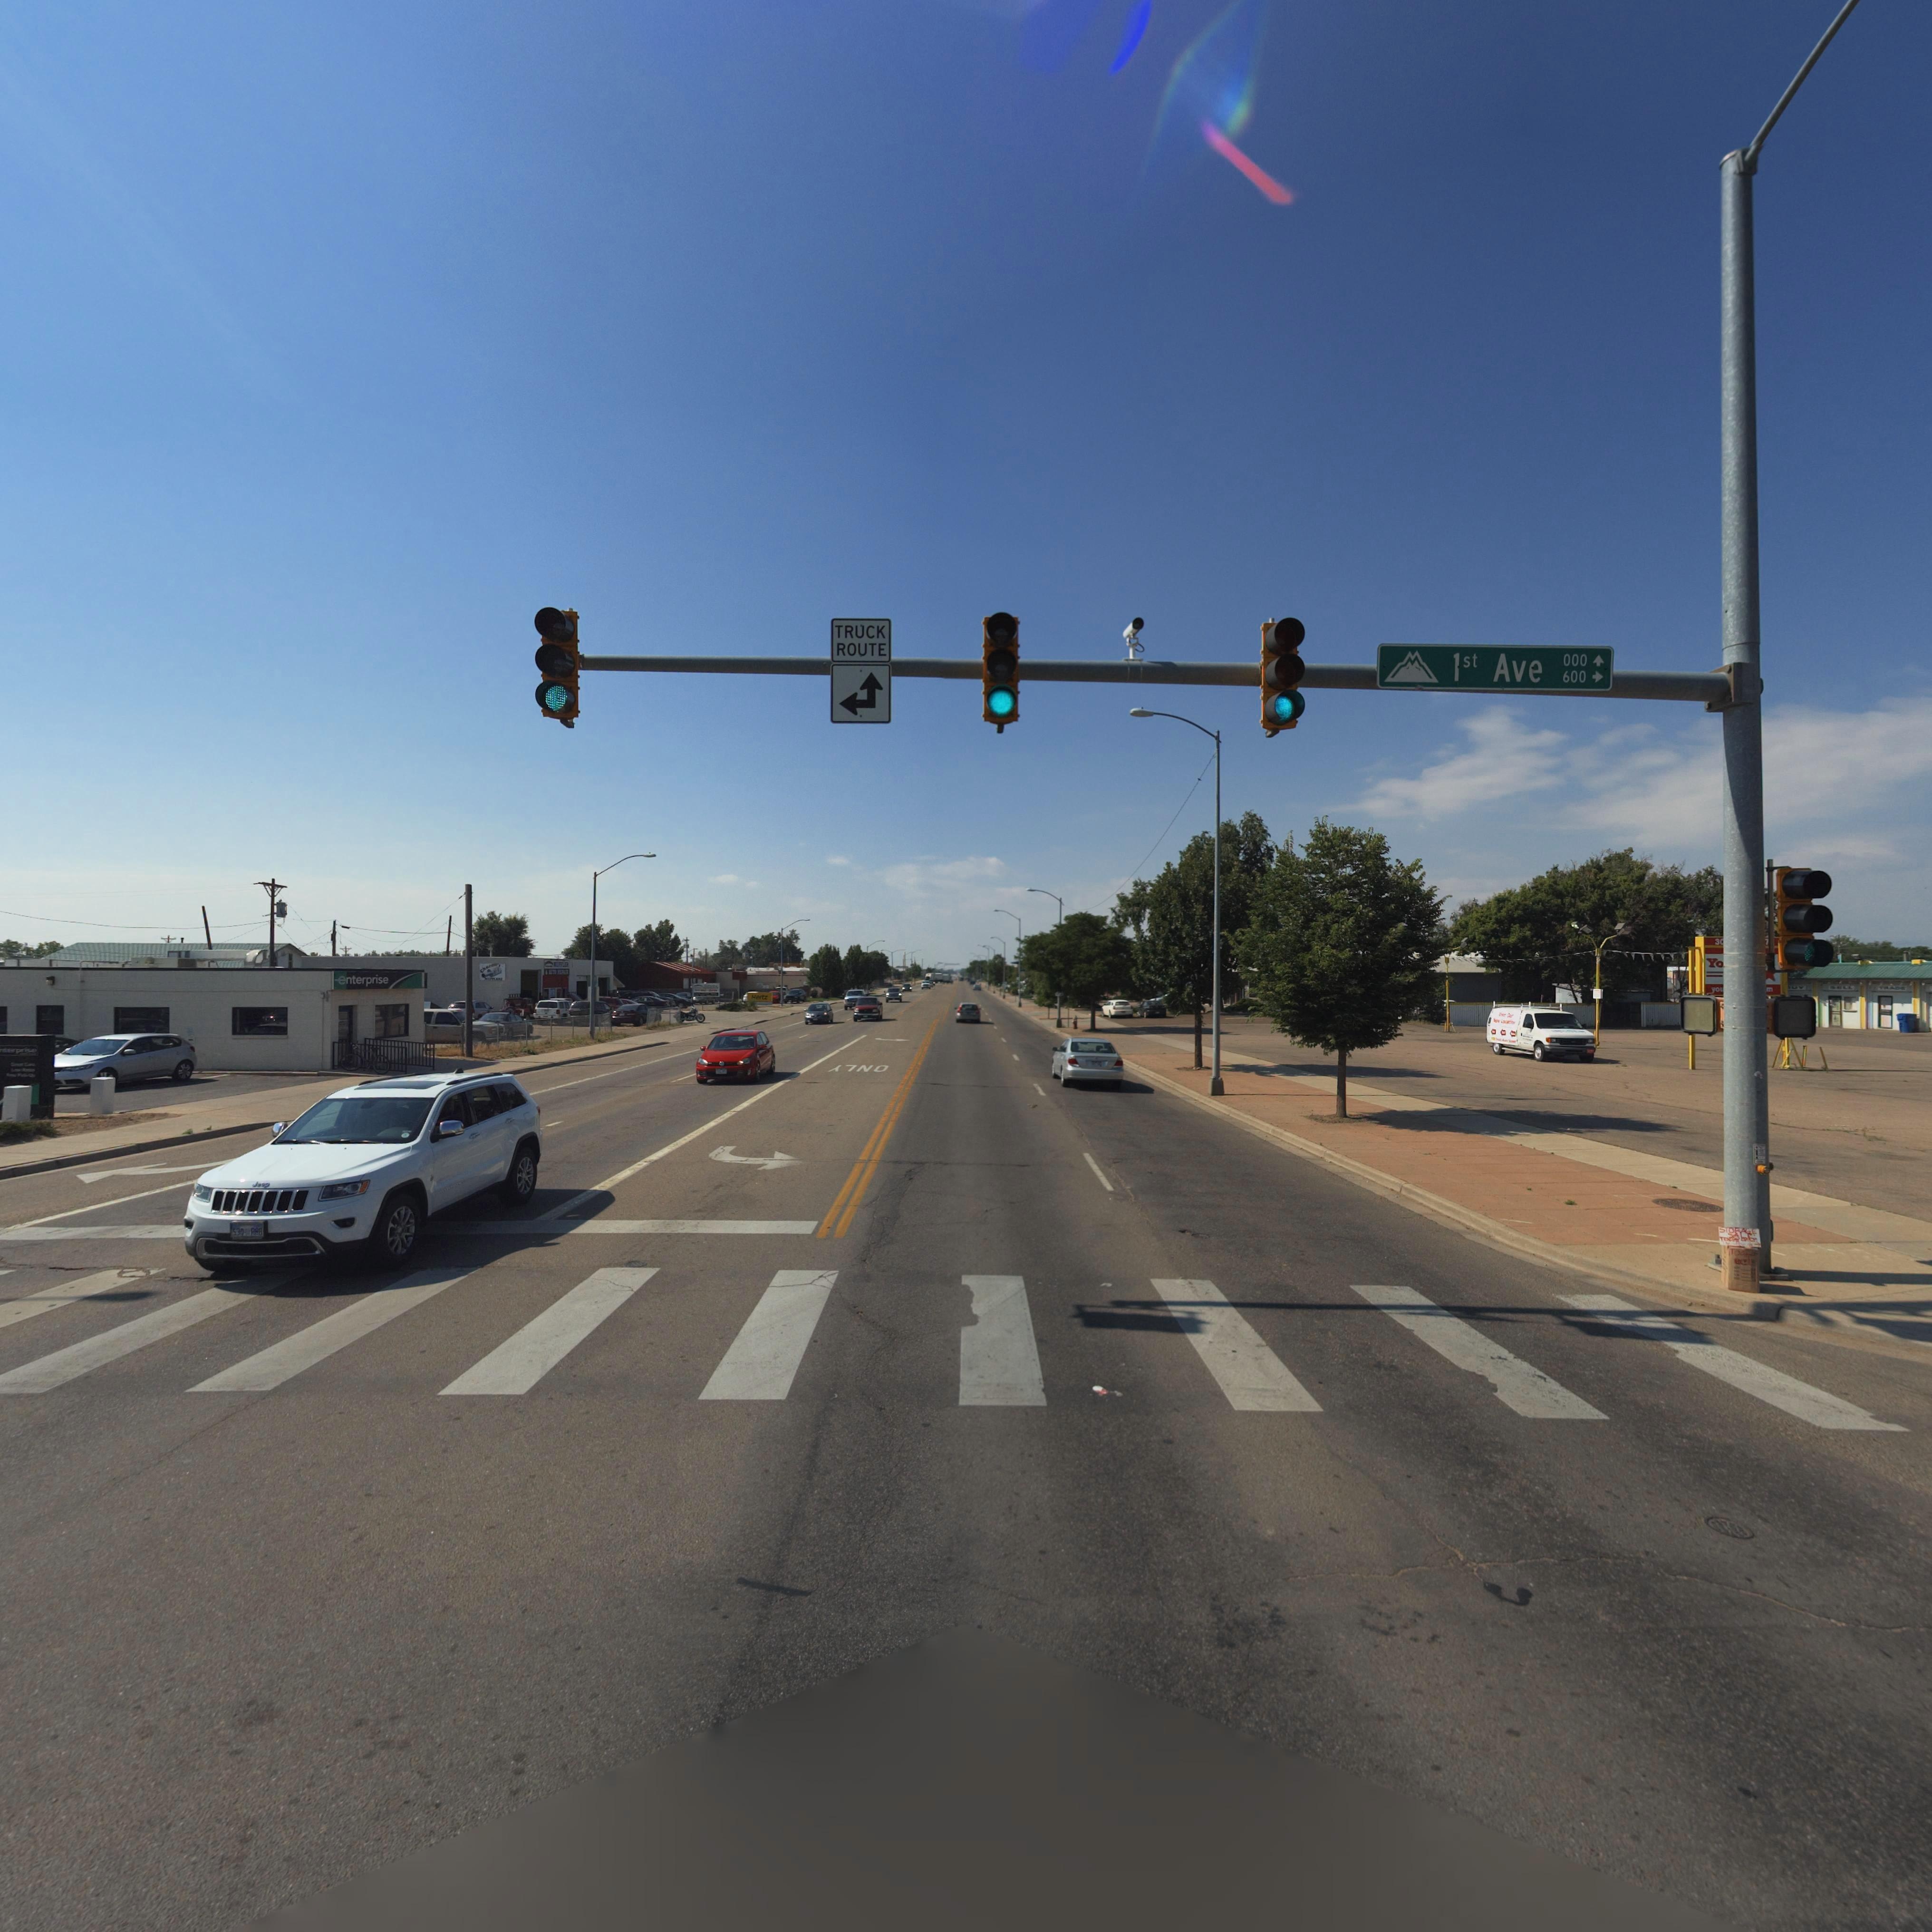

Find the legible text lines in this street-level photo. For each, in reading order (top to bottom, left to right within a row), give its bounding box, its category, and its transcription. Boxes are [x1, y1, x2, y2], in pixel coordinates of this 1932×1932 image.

[1563, 653, 1587, 667] StreetNumberRange: 000
[1452, 651, 1544, 684] StreetName: 1st Ave
[1562, 669, 1604, 684] StreetNumberRange: 600 ->
[1705, 957, 1724, 968] BusinessName: Yo
[337, 974, 389, 987] BusinessName: enterprise
[751, 994, 767, 1000] BusinessName: Hertz
[1, 1046, 37, 1055] BusinessName: ****pri**